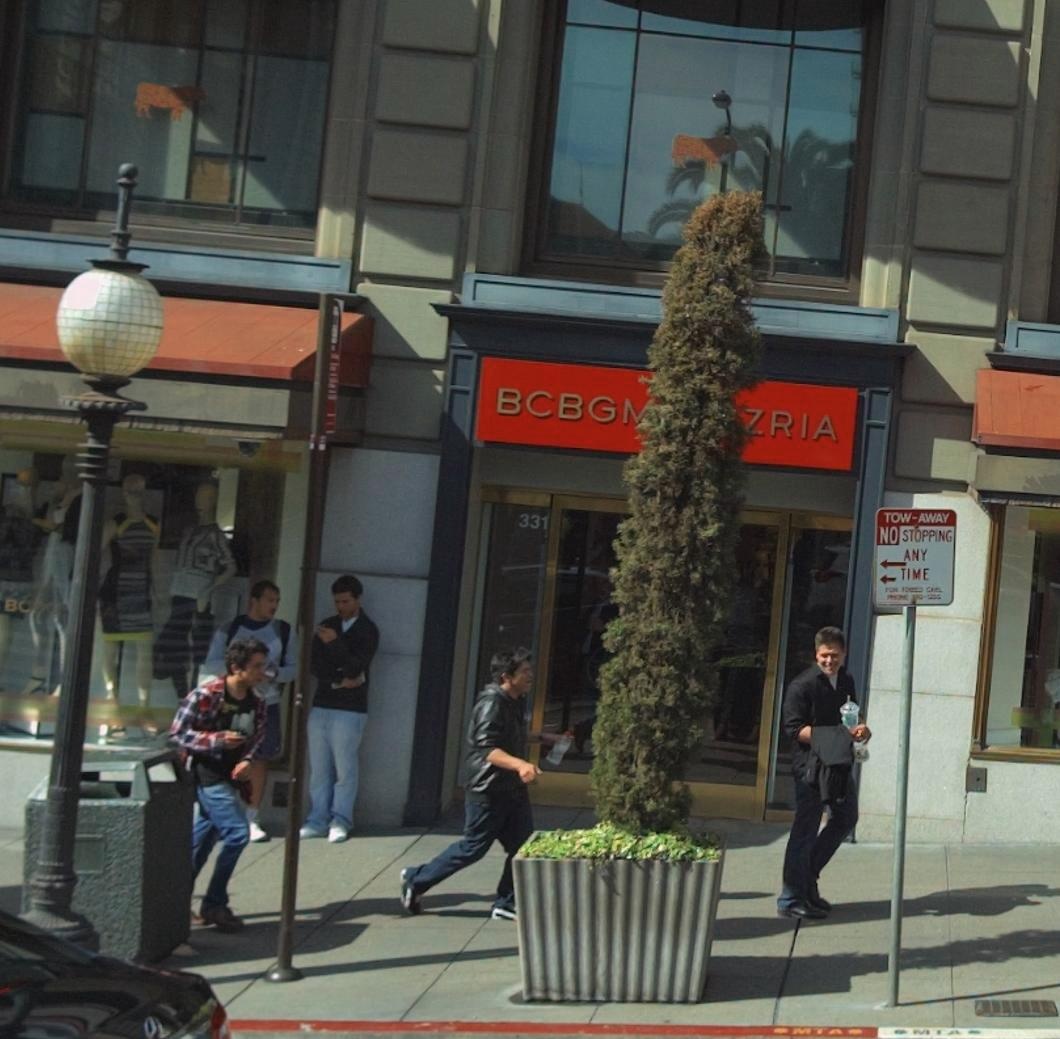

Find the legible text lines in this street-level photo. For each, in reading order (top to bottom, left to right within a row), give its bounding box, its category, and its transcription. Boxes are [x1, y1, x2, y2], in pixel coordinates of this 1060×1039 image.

[490, 380, 621, 429] BusinessName: BCBG
[739, 402, 842, 448] BusinessName: ZRIA
[516, 509, 554, 534] StreetNumber: 331
[881, 509, 952, 528] None: TOW-AWAY
[876, 524, 955, 547] None: NO STOPPING
[901, 546, 932, 564] None: ANY
[897, 564, 933, 584] None: TIME
[2, 595, 33, 619] None: BC
[789, 1024, 845, 1039] None: MTA